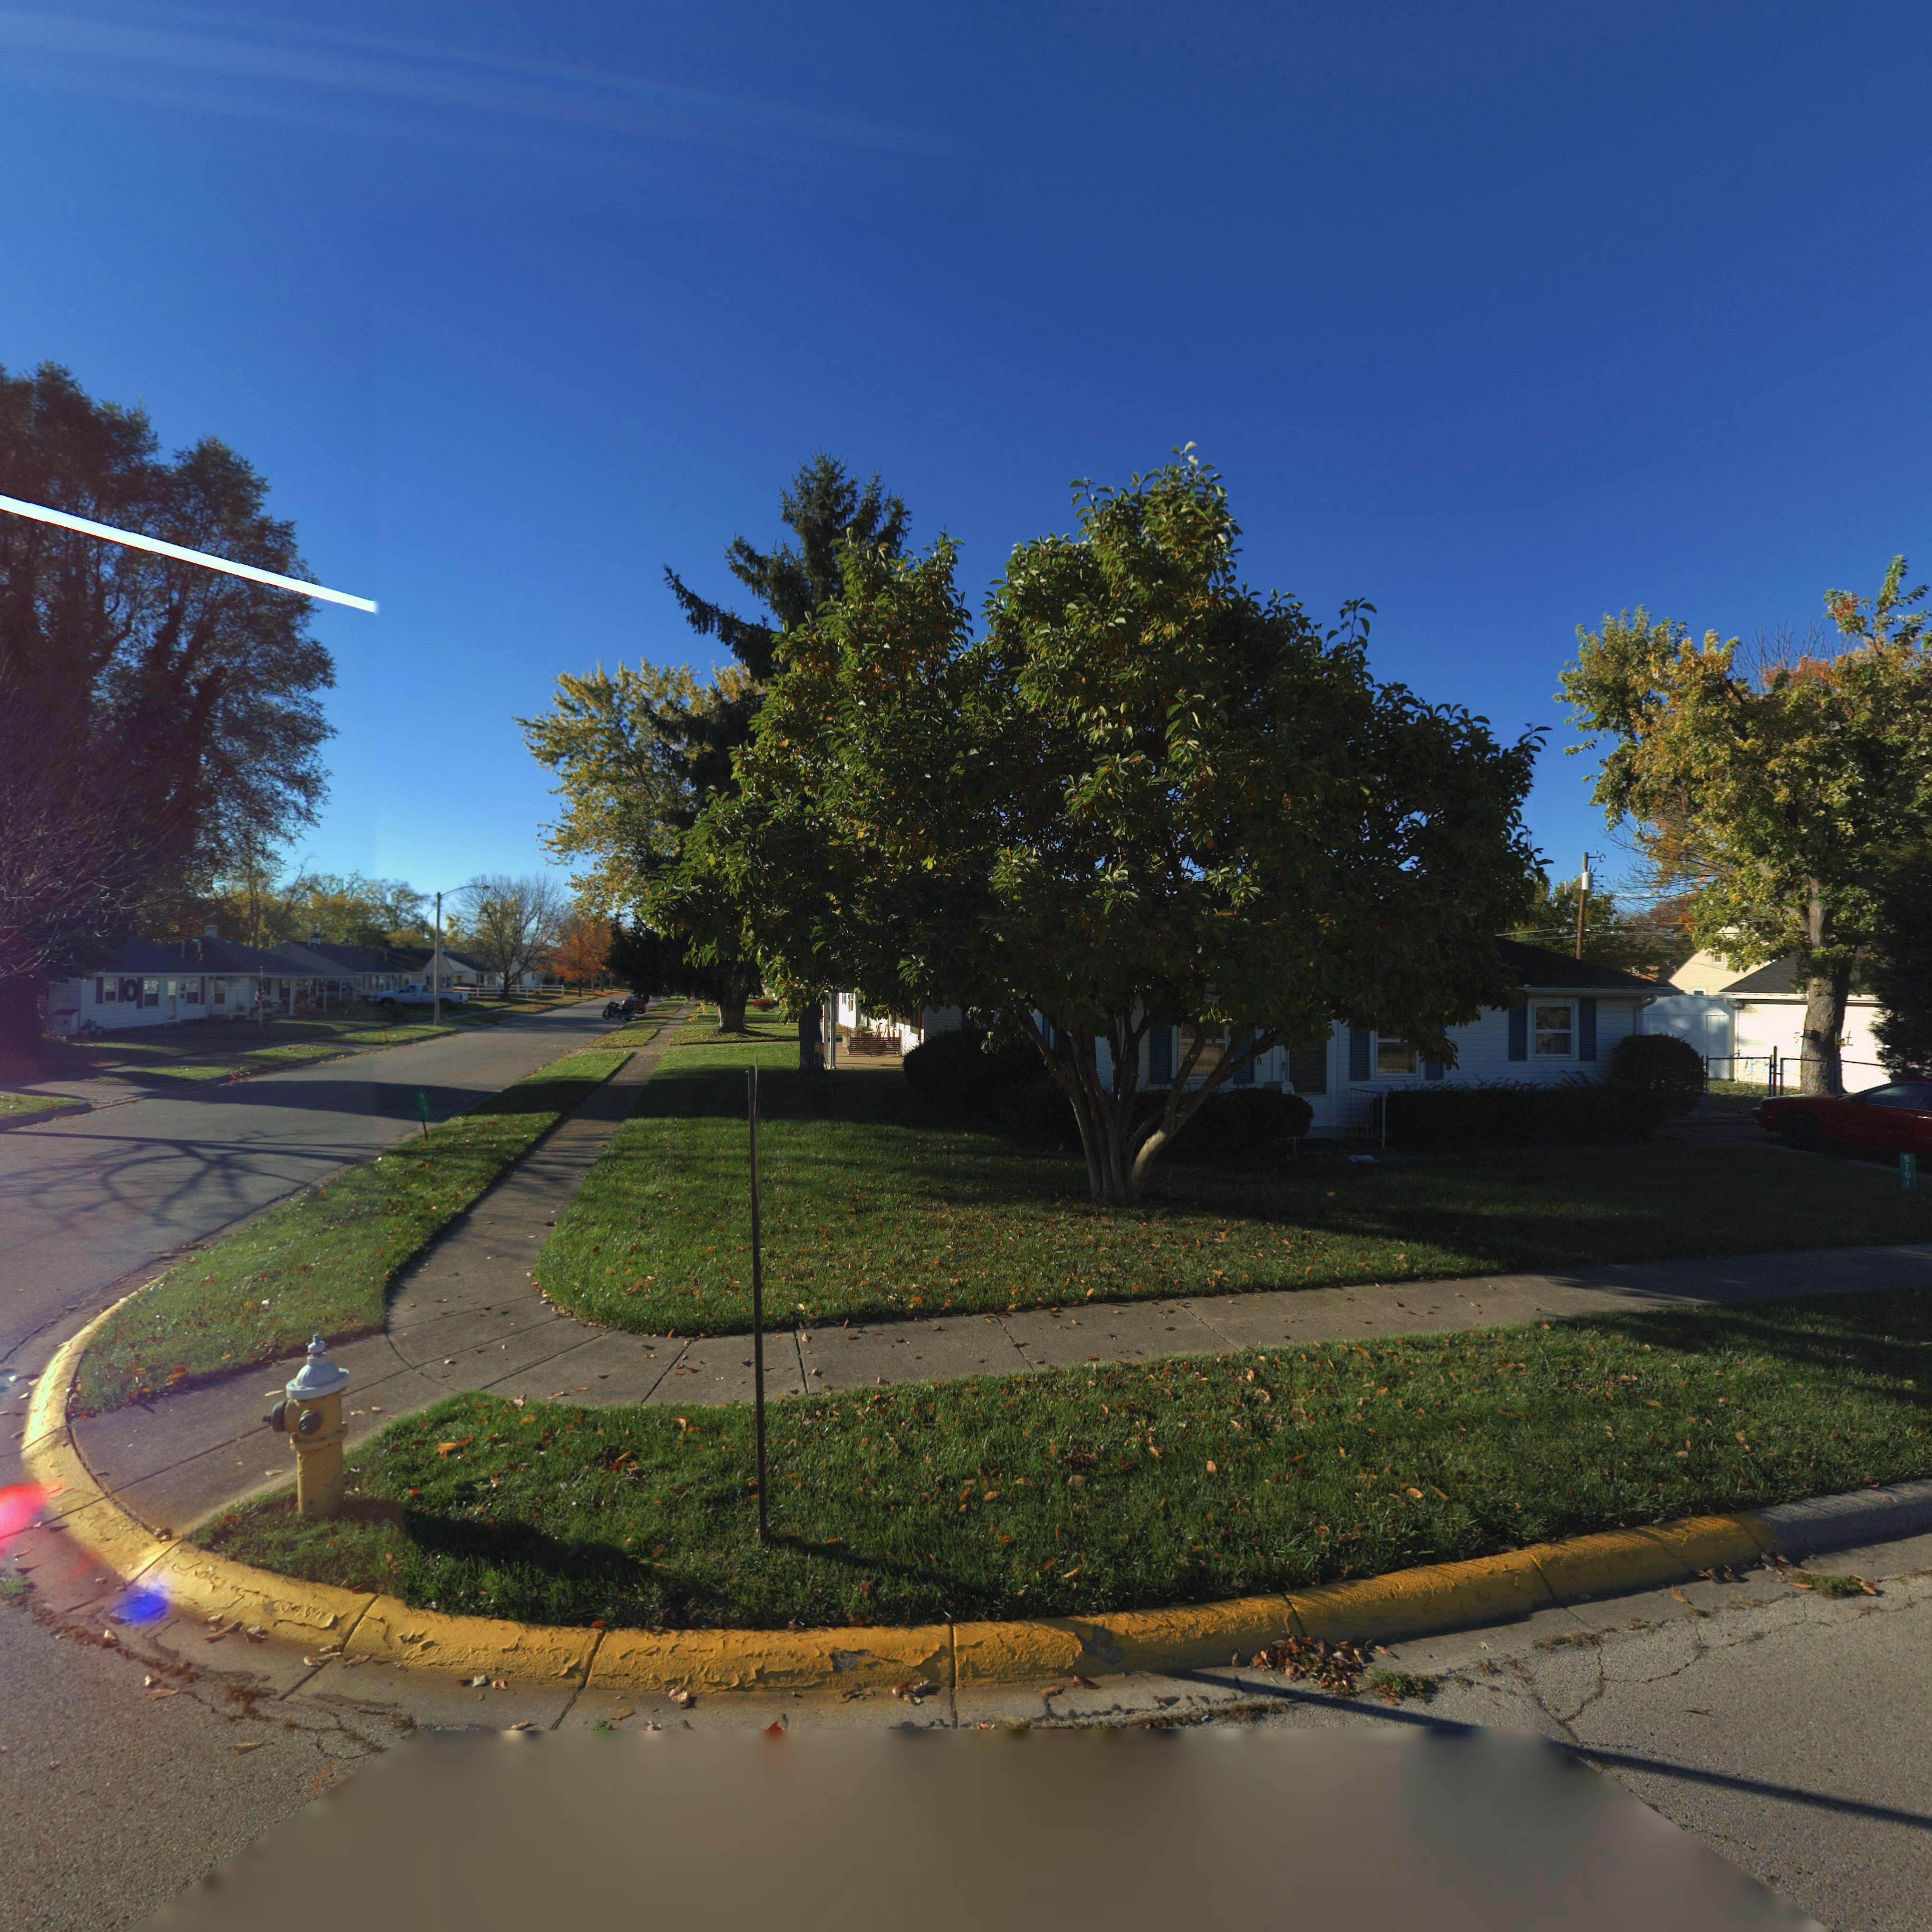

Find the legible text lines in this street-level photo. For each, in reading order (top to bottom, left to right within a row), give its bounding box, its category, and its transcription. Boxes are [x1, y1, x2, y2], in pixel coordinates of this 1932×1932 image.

[418, 1092, 429, 1118] StreetNumber: 5101
[1903, 1154, 1911, 1188] StreetNumber: 5101